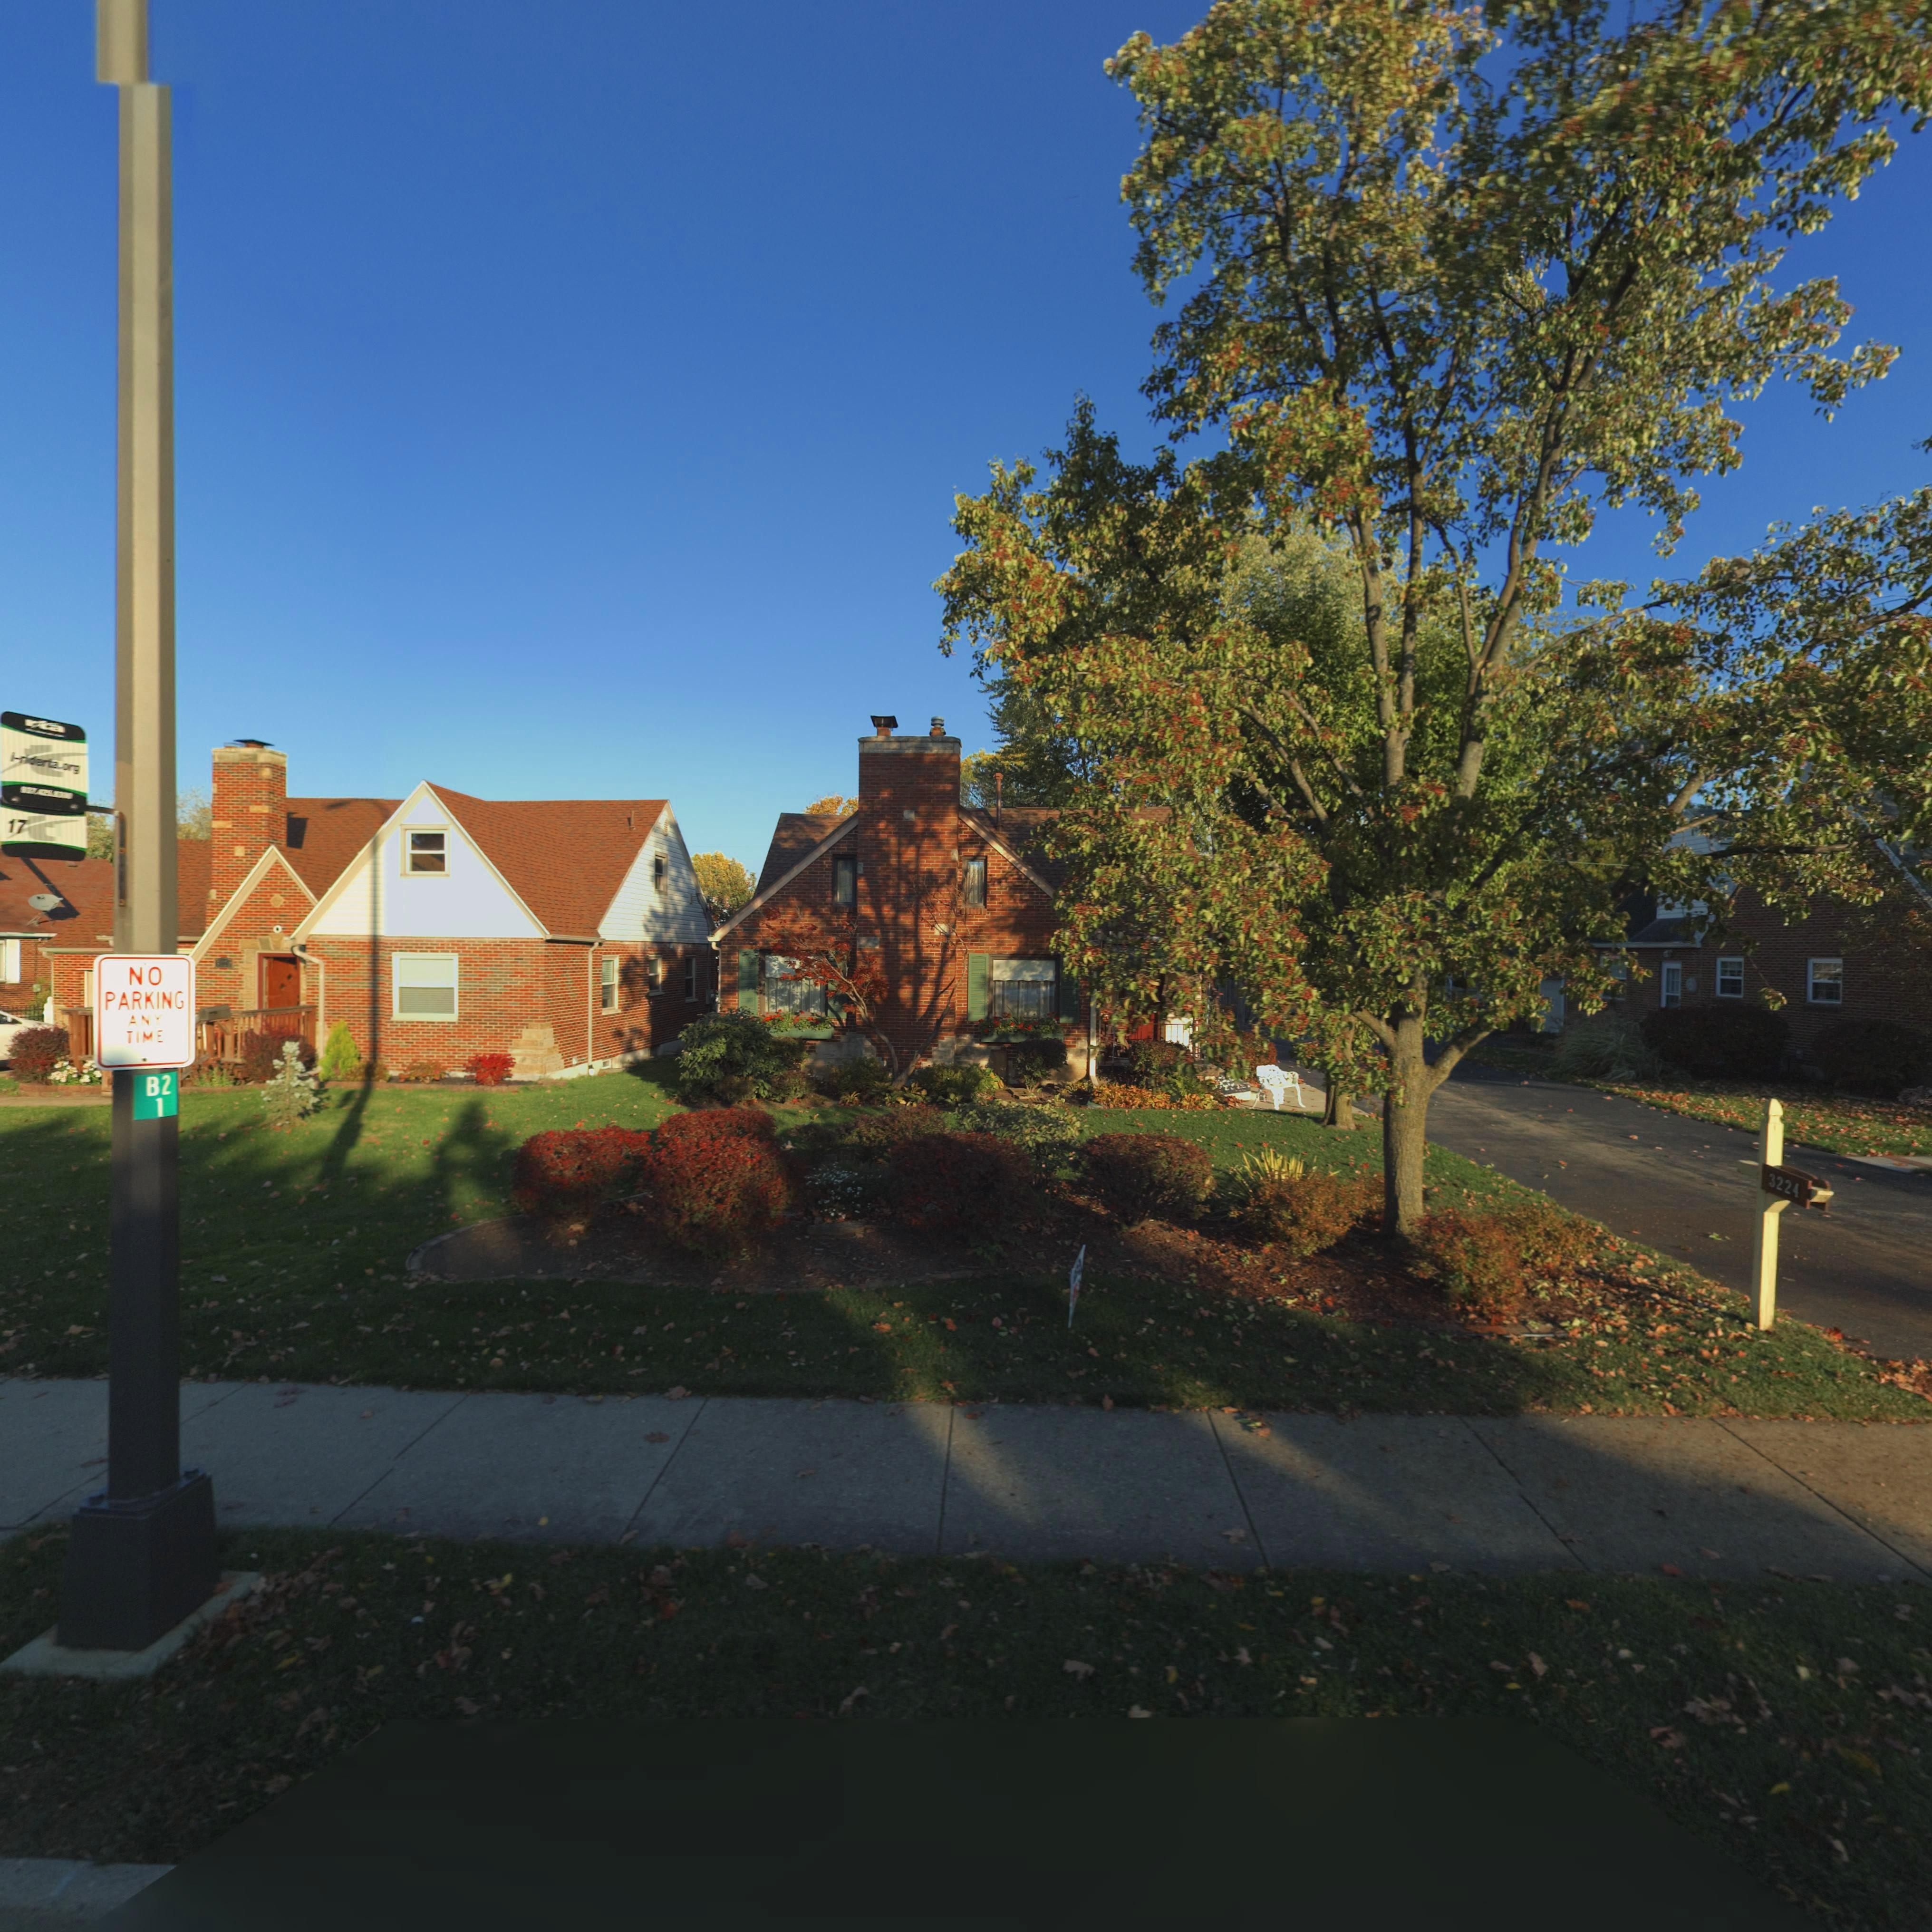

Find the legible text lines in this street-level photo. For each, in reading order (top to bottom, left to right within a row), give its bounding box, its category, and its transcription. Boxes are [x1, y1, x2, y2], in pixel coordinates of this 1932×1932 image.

[1768, 1171, 1801, 1200] StreetNumber: 3224